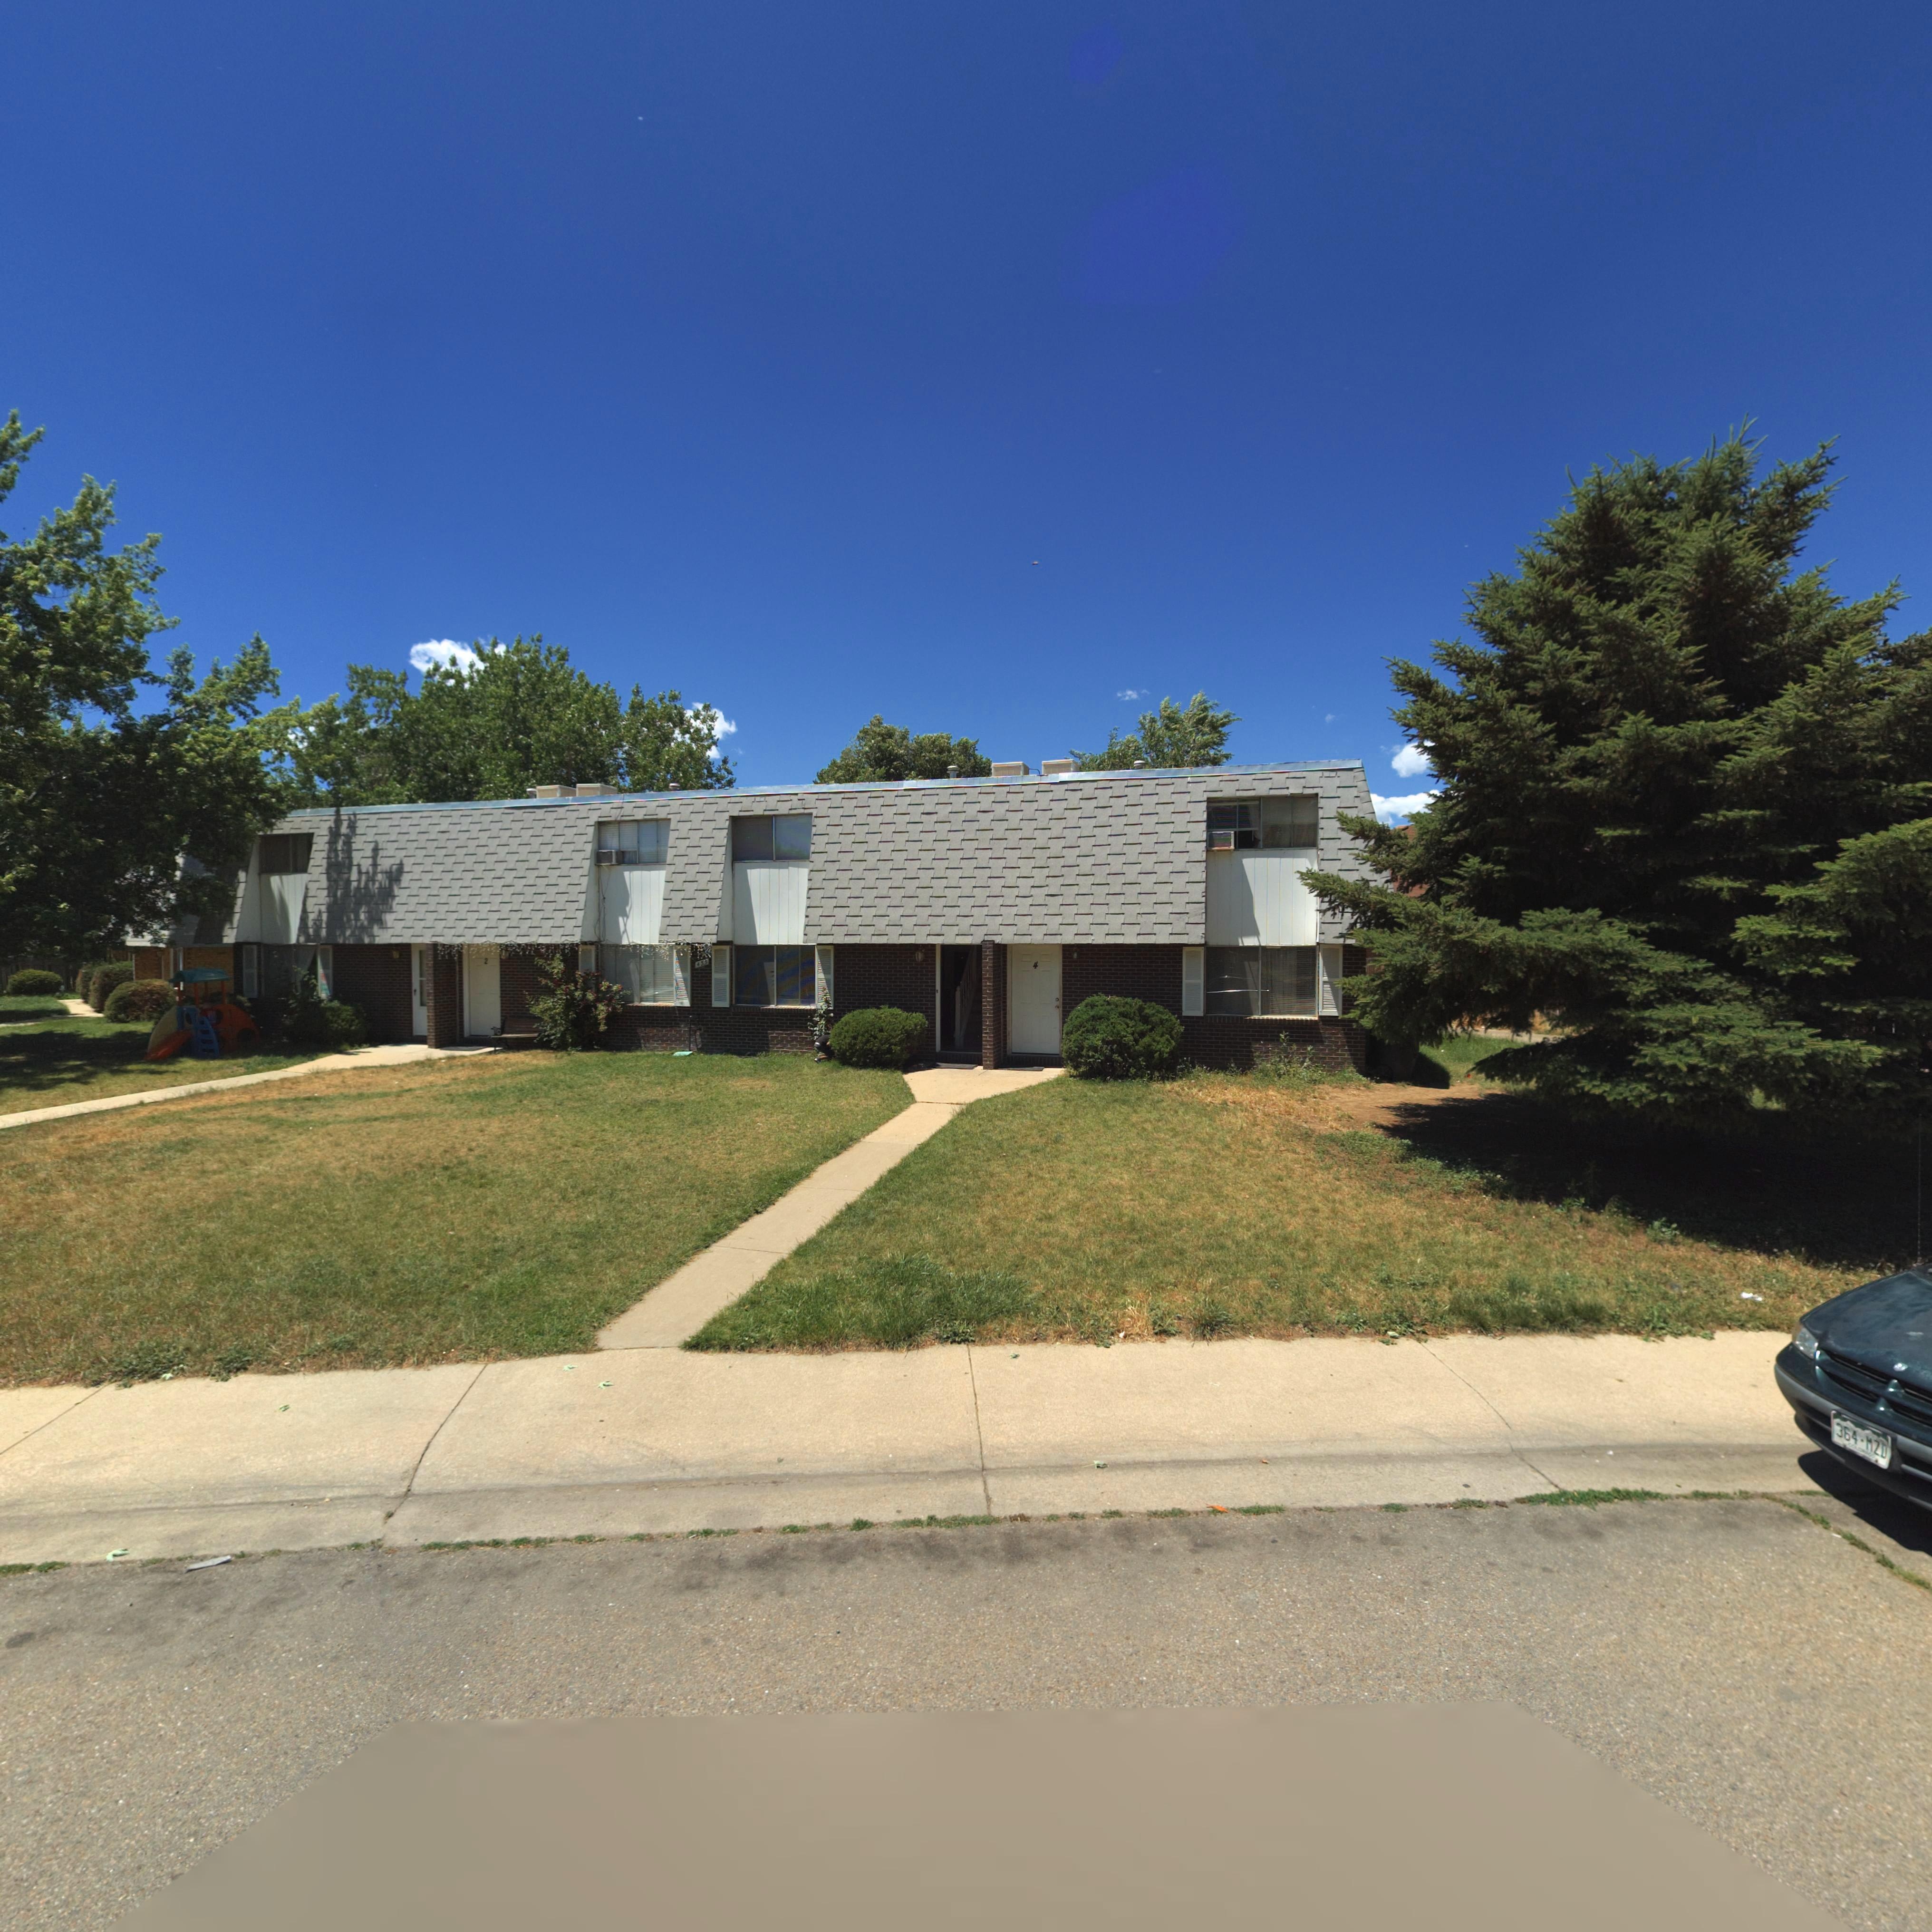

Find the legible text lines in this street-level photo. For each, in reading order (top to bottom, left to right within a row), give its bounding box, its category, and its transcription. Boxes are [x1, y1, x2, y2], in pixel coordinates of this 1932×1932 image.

[483, 957, 488, 964] StreetNumber: 2
[696, 959, 707, 966] StreetNumber: 43*
[1032, 960, 1038, 969] StreetNumber: 4